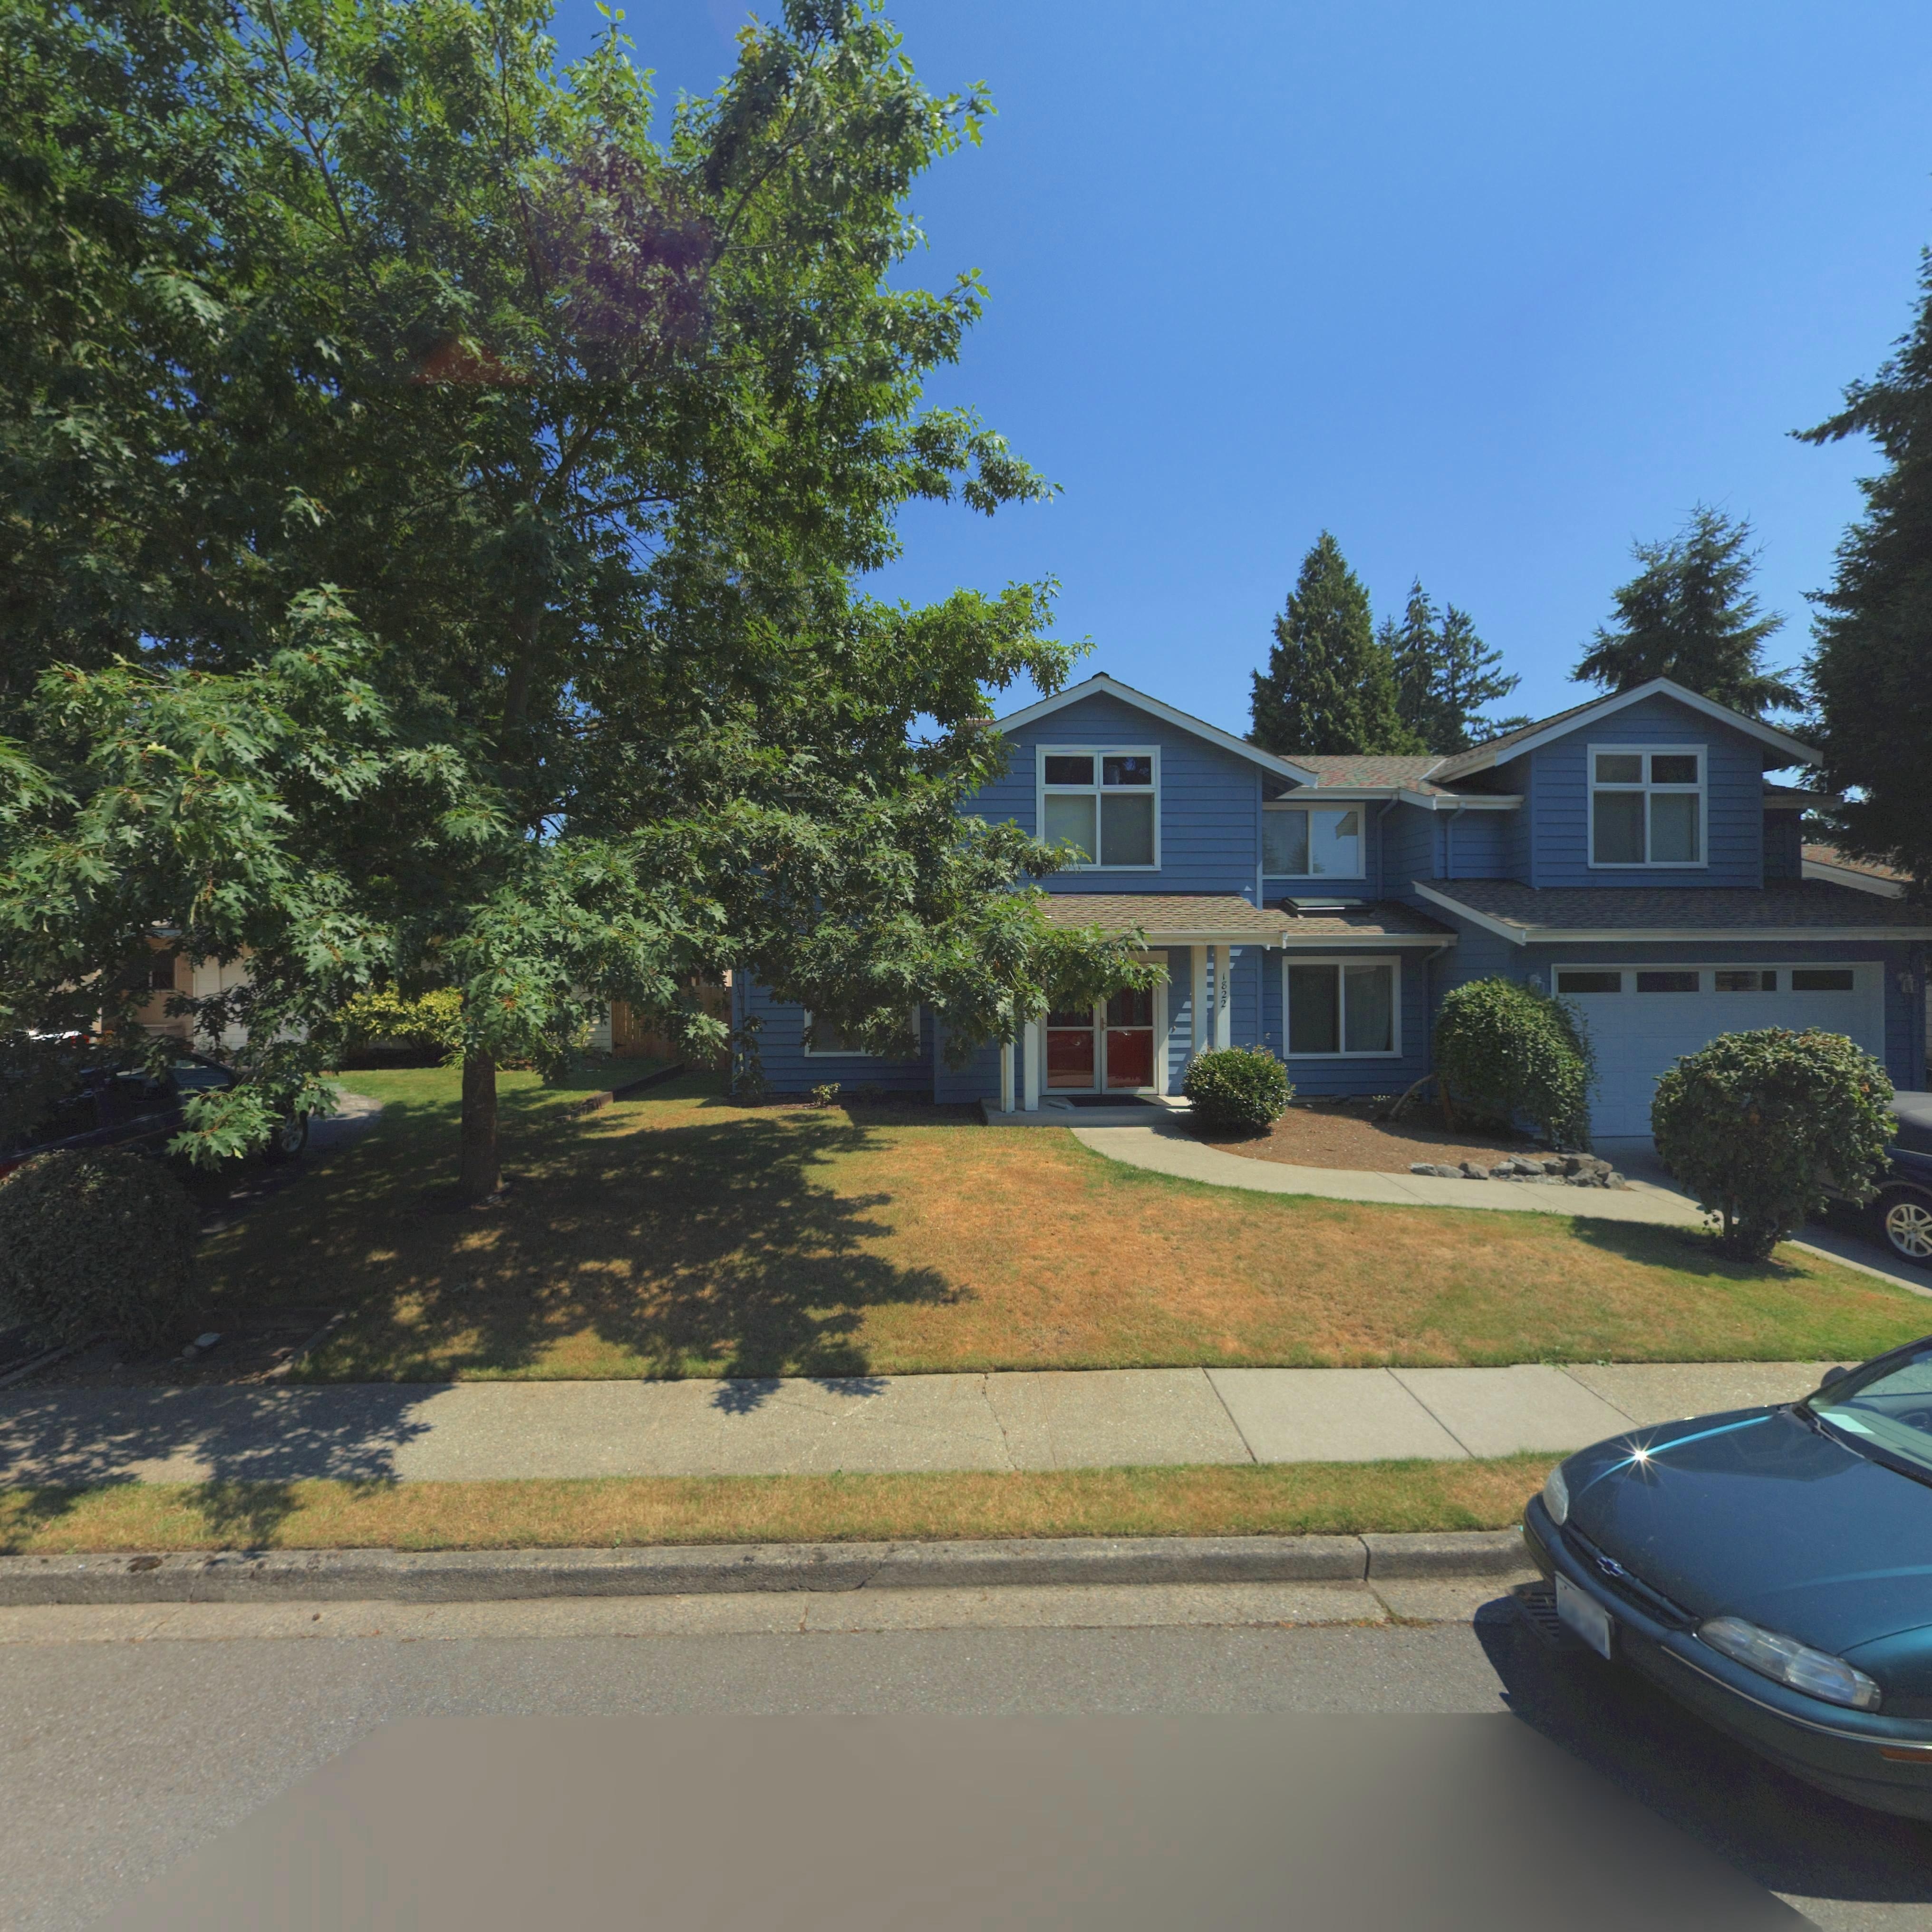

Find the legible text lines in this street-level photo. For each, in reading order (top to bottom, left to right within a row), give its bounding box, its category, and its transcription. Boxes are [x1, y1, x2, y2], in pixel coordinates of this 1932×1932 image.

[1220, 971, 1227, 1008] StreetNumber: 1822